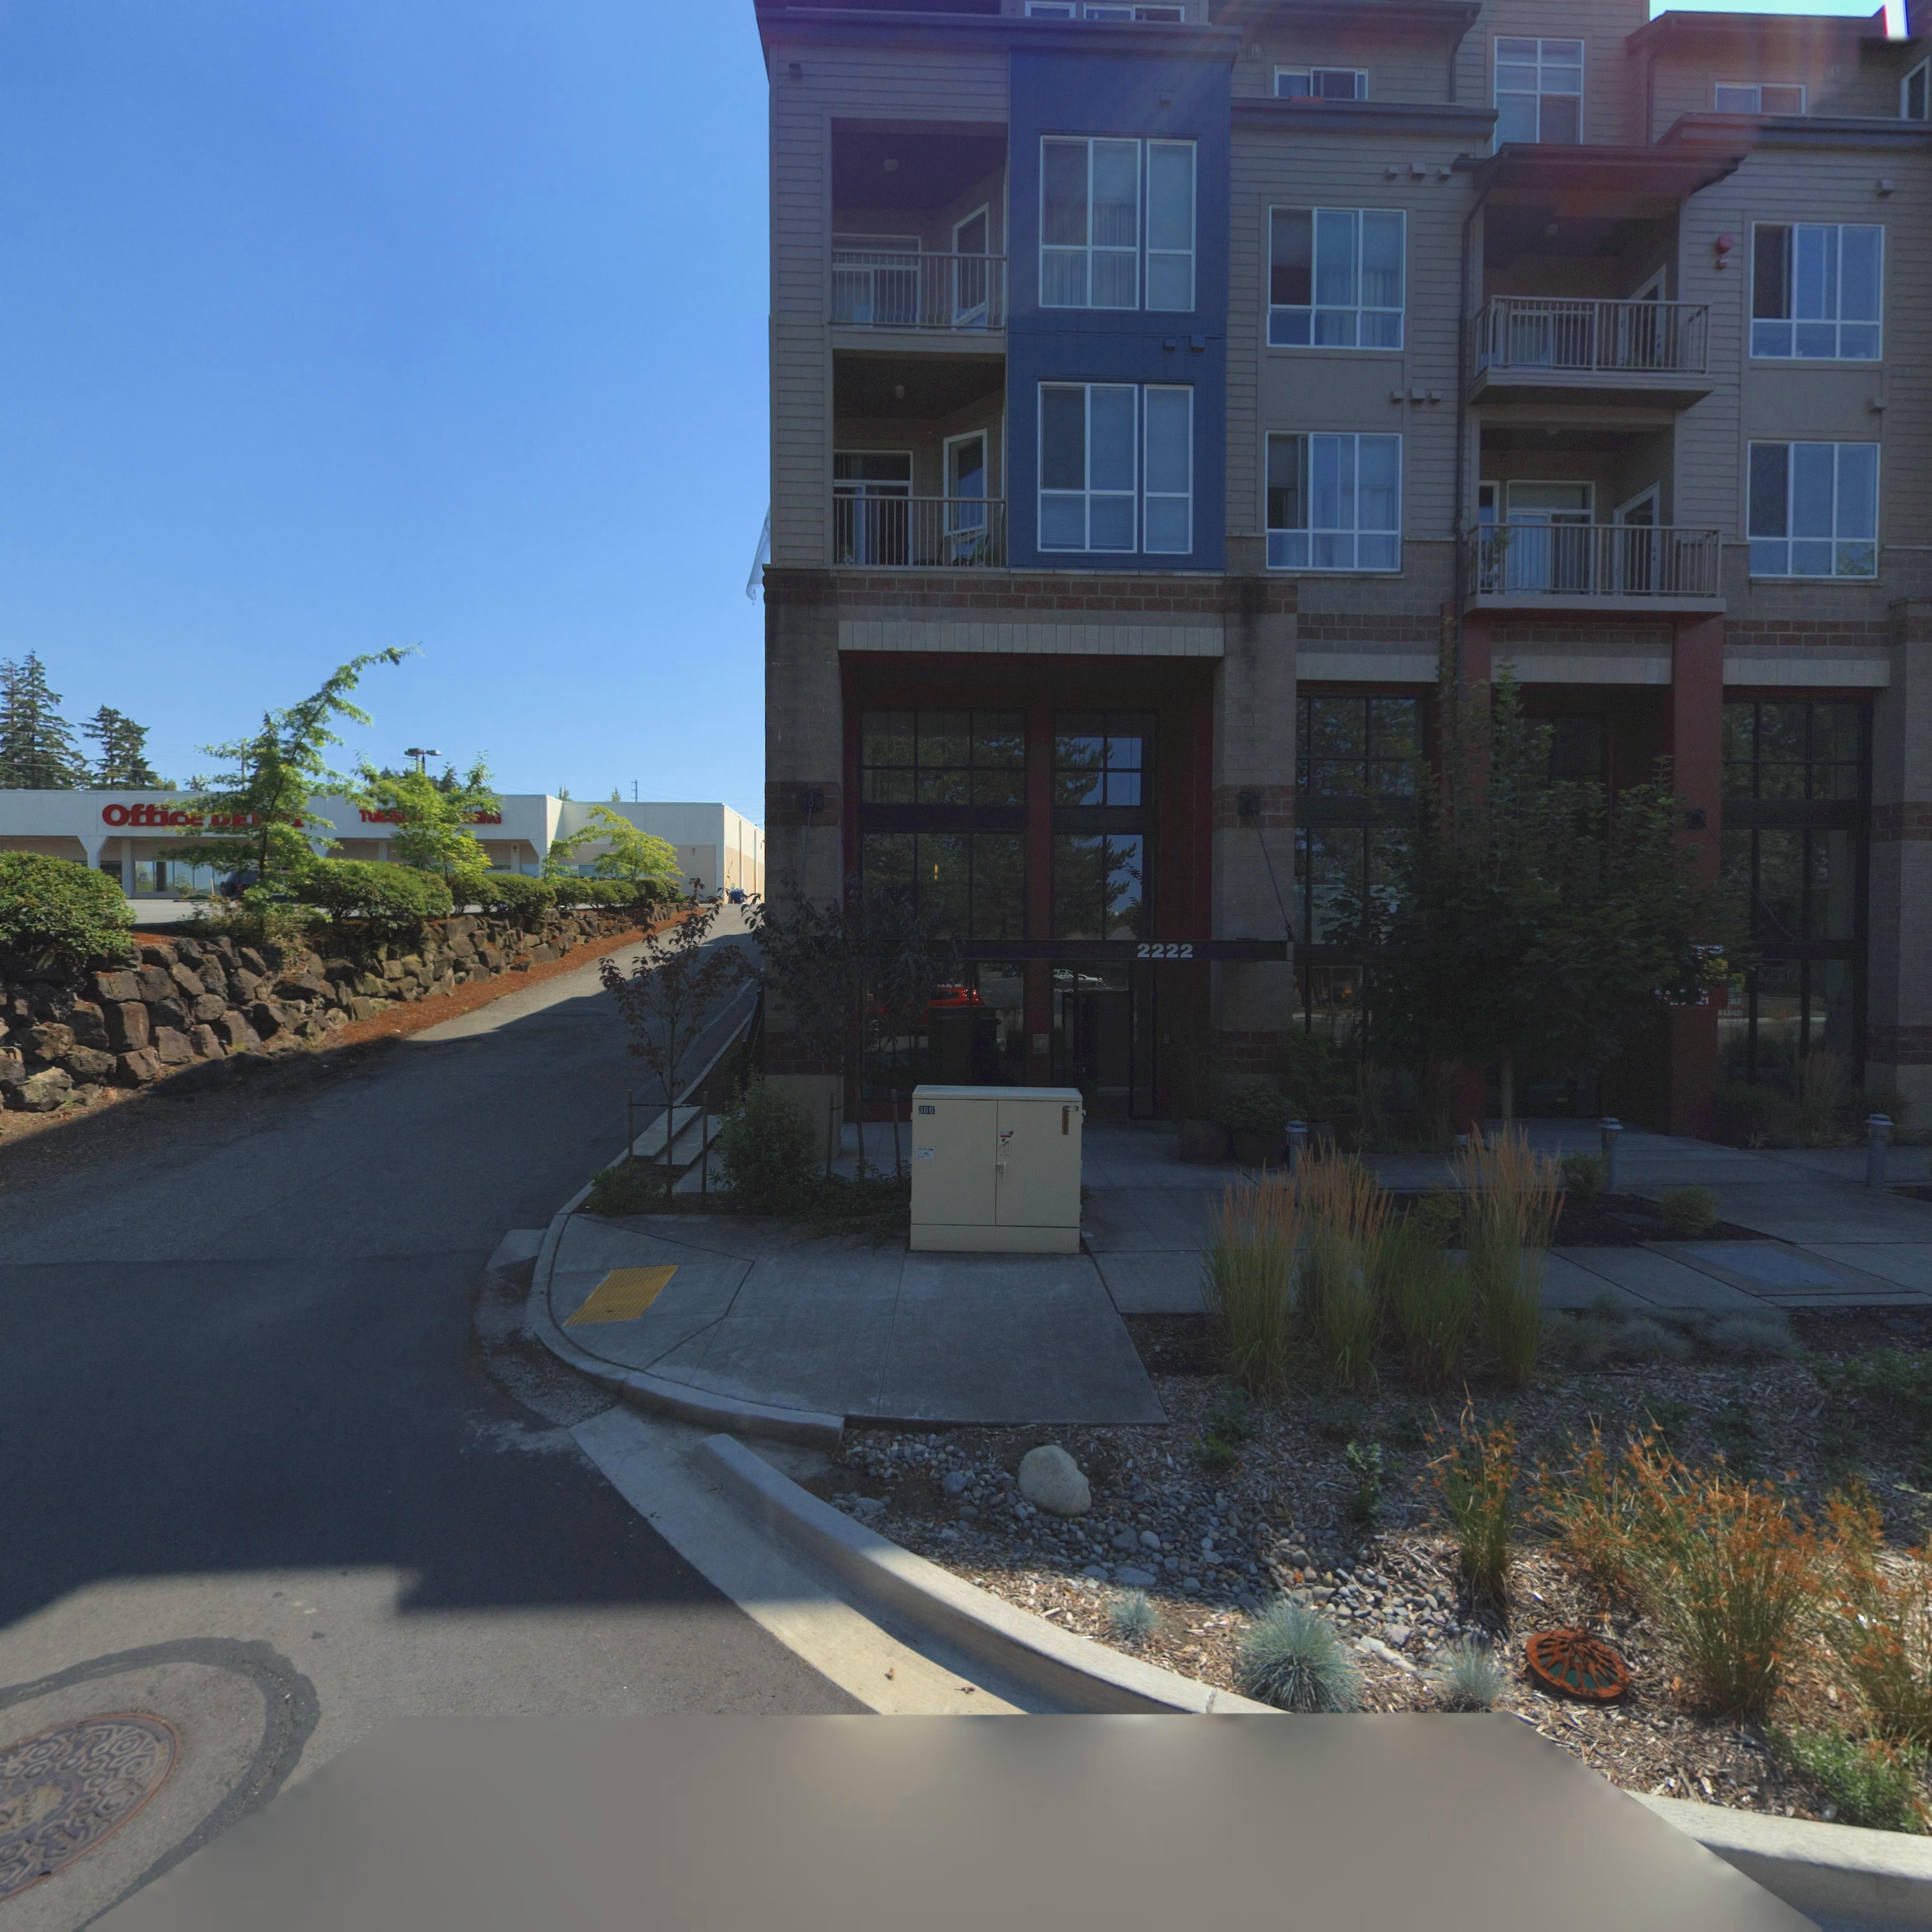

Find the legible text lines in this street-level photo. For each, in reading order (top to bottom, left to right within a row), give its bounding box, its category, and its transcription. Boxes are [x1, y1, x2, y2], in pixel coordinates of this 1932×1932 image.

[102, 802, 308, 828] BusinessName: Office D****
[1137, 943, 1193, 958] StreetNumber: 2222